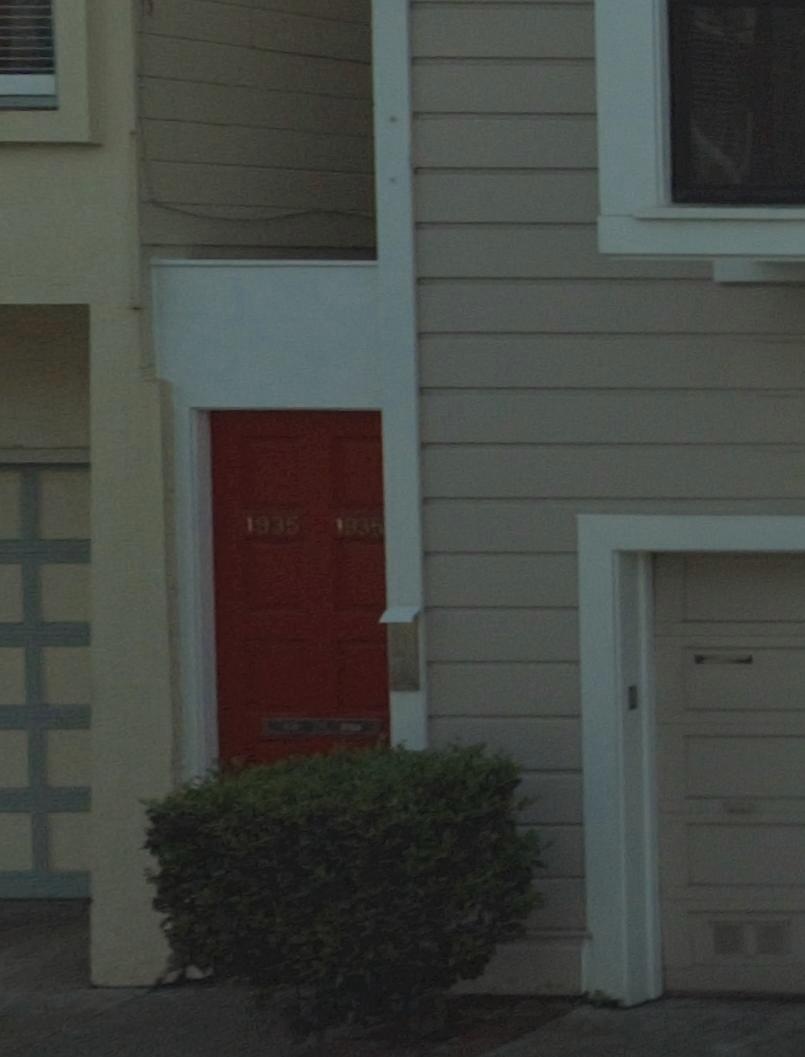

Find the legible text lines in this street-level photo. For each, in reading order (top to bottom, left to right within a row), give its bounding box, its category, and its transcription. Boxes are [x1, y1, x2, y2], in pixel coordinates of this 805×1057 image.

[243, 513, 303, 539] StreetNumber: 1935
[331, 513, 388, 540] StreetNumber: 1935